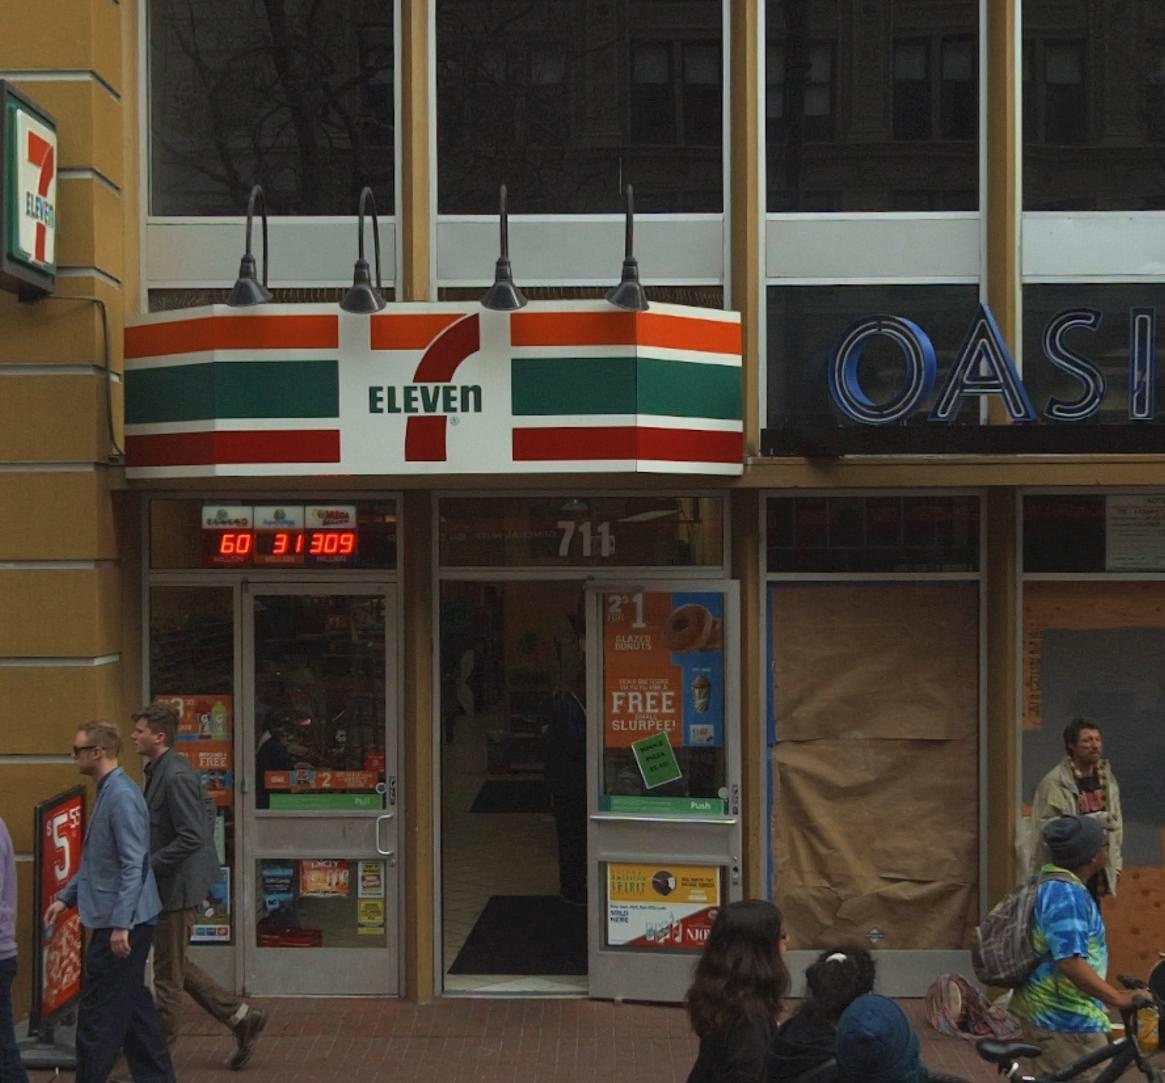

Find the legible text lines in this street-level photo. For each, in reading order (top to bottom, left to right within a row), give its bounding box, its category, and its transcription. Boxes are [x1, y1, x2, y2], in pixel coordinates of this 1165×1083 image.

[25, 188, 55, 230] BusinessName: ELEVEn
[825, 303, 1160, 431] BusinessName: OASI
[367, 384, 482, 413] BusinessName: ELEVEn
[219, 532, 253, 554] None: 60
[272, 531, 305, 554] None: 31
[308, 532, 355, 555] None: 309
[555, 519, 611, 558] StreetNumber: 711
[607, 593, 622, 614] None: 2
[607, 612, 623, 621] None: FOR
[631, 592, 646, 629] None: 1
[614, 642, 652, 651] None: DONUTS
[615, 633, 652, 643] None: GLAZED
[611, 690, 676, 714] None: FREE
[611, 718, 672, 732] None: SLURPEE
[199, 756, 228, 767] None: FREE
[321, 771, 332, 787] None: 2
[389, 775, 396, 800] None: PULL
[353, 795, 371, 806] None: Pull
[690, 799, 712, 810] None: Push
[69, 803, 83, 830] None: 55
[51, 809, 72, 883] None: 5
[610, 880, 647, 894] None: SPIRIT
[609, 909, 630, 917] None: SOLD